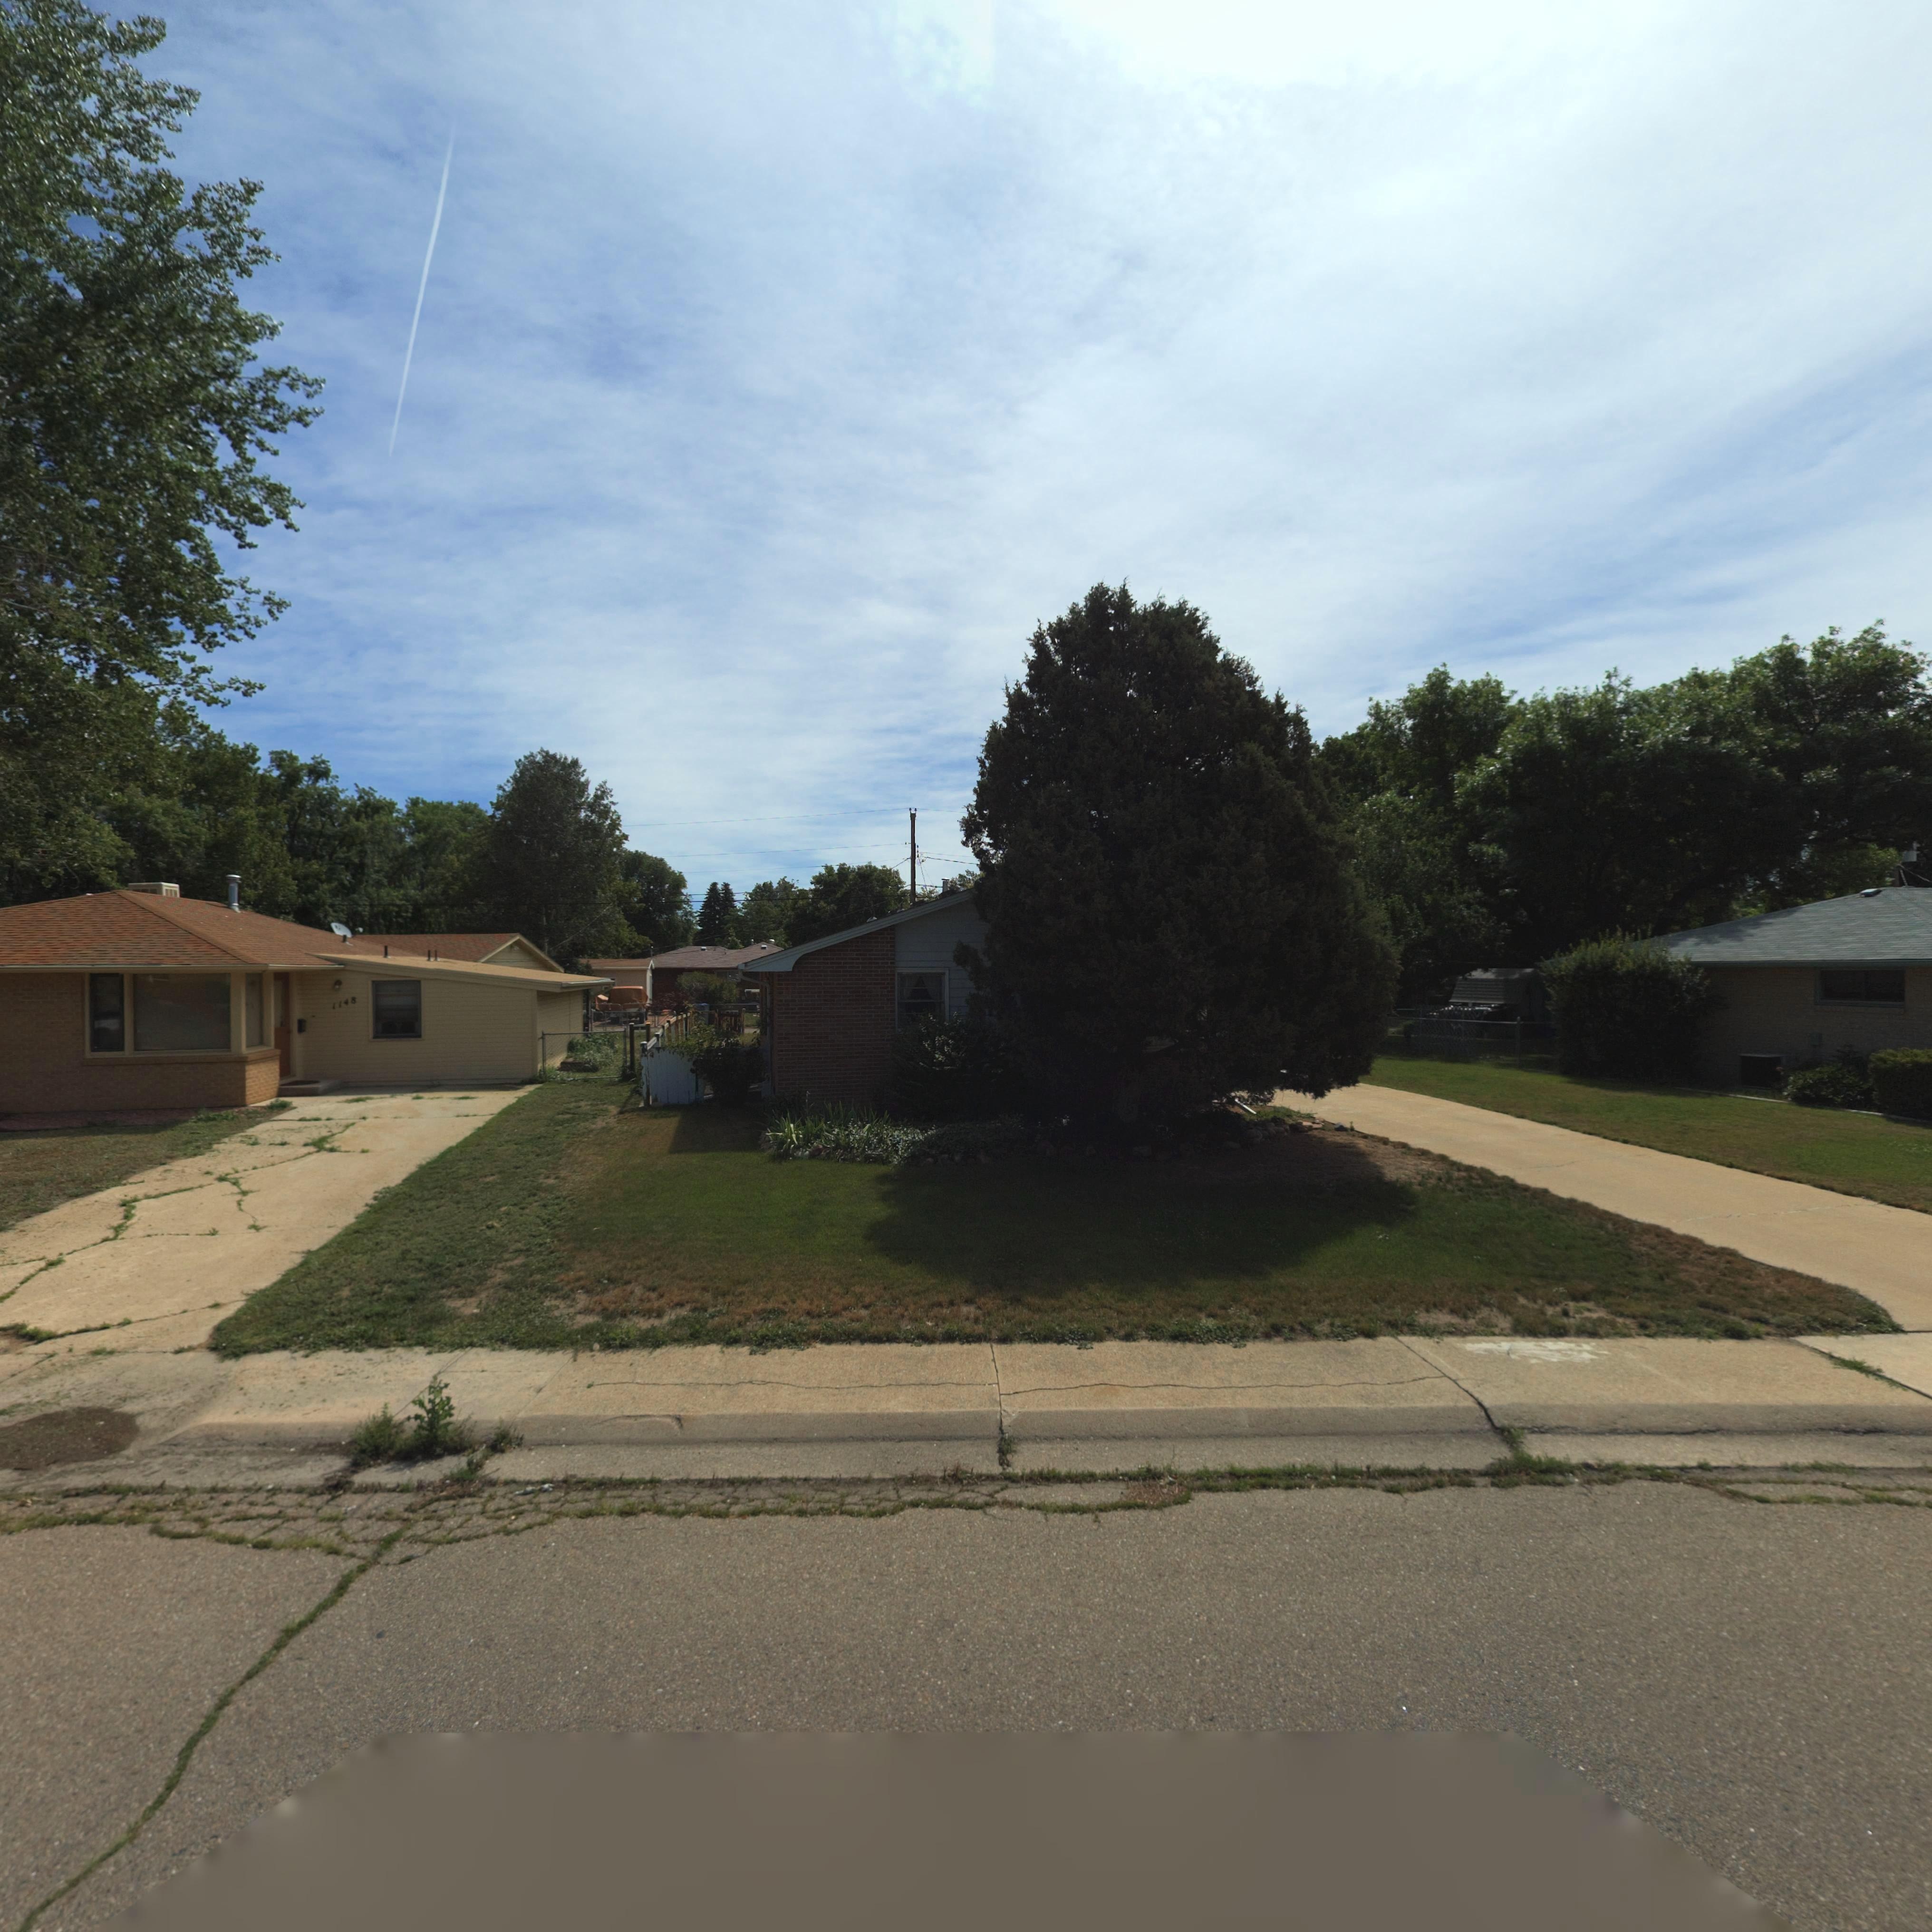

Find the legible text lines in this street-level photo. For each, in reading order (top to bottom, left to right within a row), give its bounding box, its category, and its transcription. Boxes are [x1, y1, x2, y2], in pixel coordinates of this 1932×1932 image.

[332, 996, 357, 1009] StreetNumber: 1148